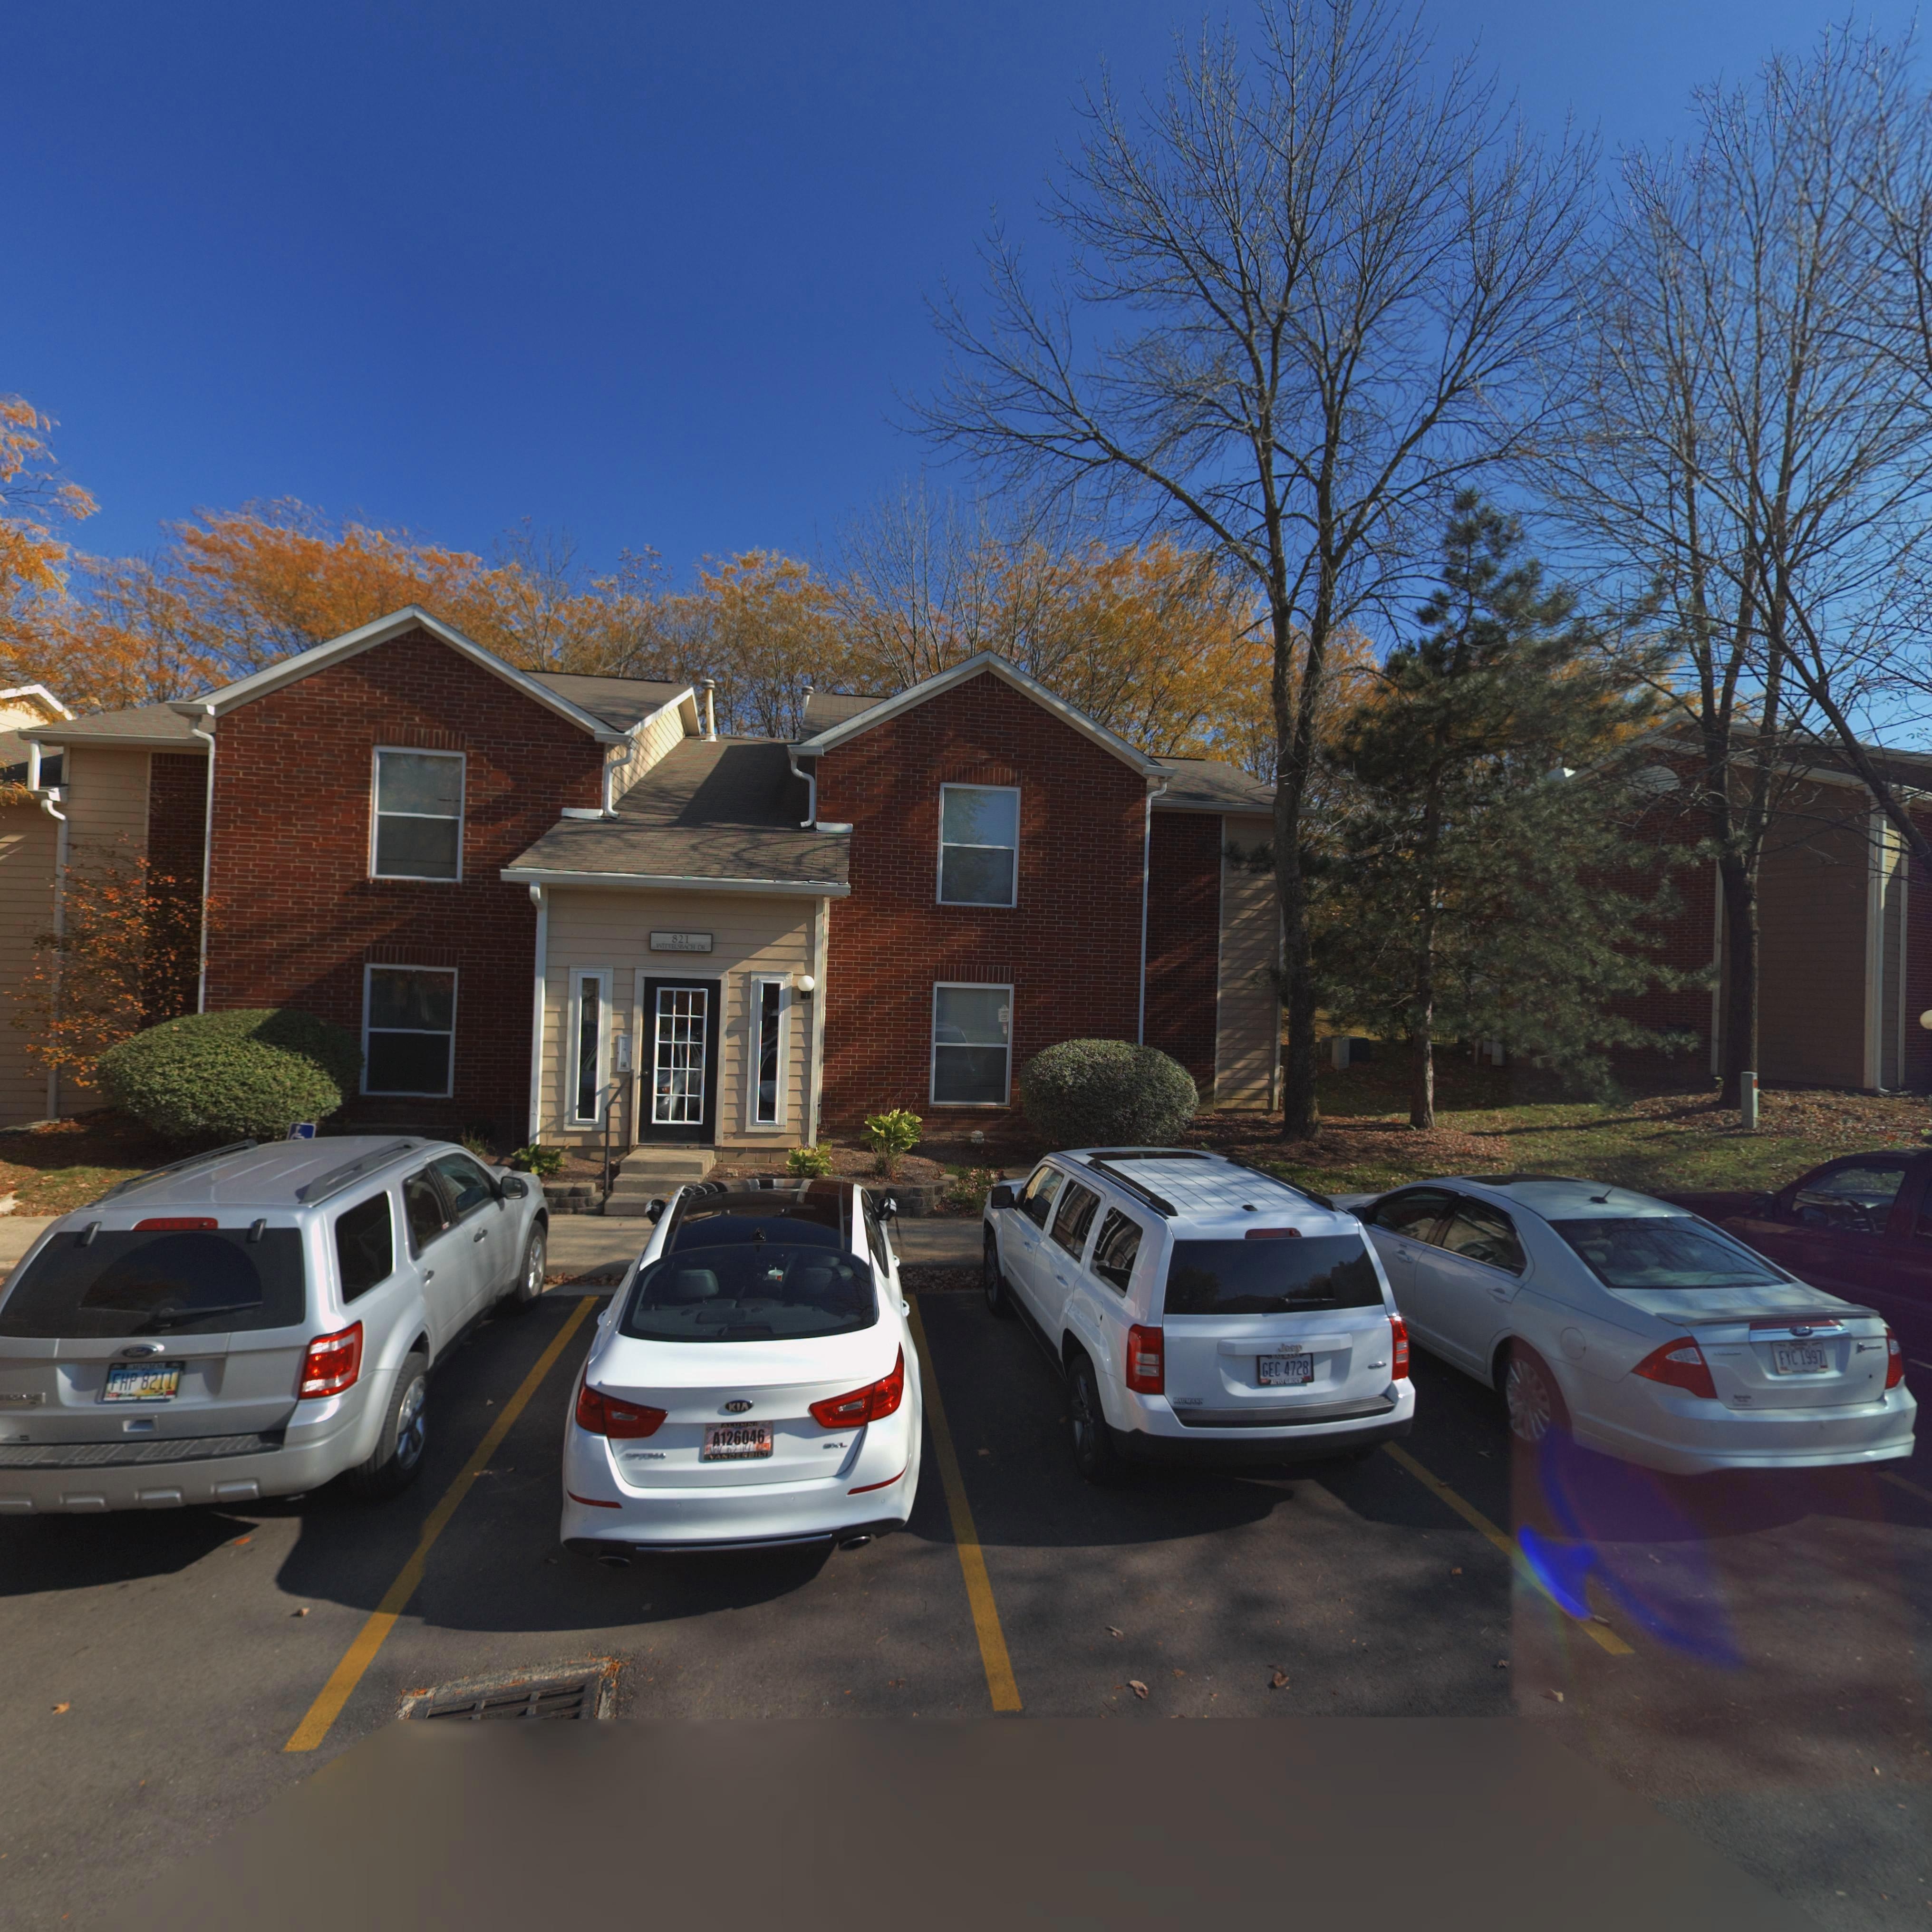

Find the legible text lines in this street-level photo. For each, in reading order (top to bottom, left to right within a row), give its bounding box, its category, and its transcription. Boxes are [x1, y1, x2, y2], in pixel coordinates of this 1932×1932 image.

[671, 933, 690, 945] StreetNumber: 821
[655, 941, 707, 951] StreetName: WITTELS**CH DR
[1276, 1340, 1305, 1355] None: Jeep
[1776, 1348, 1826, 1368] None: FYC 1997
[1261, 1358, 1310, 1379] None: GEC 4728
[108, 1369, 176, 1393] None: FHP 8211
[727, 1400, 752, 1413] None: KIA
[721, 1420, 758, 1430] None: ALUMNI
[711, 1427, 767, 1449] None: A126046
[707, 1450, 769, 1461] None: VANDERBILT